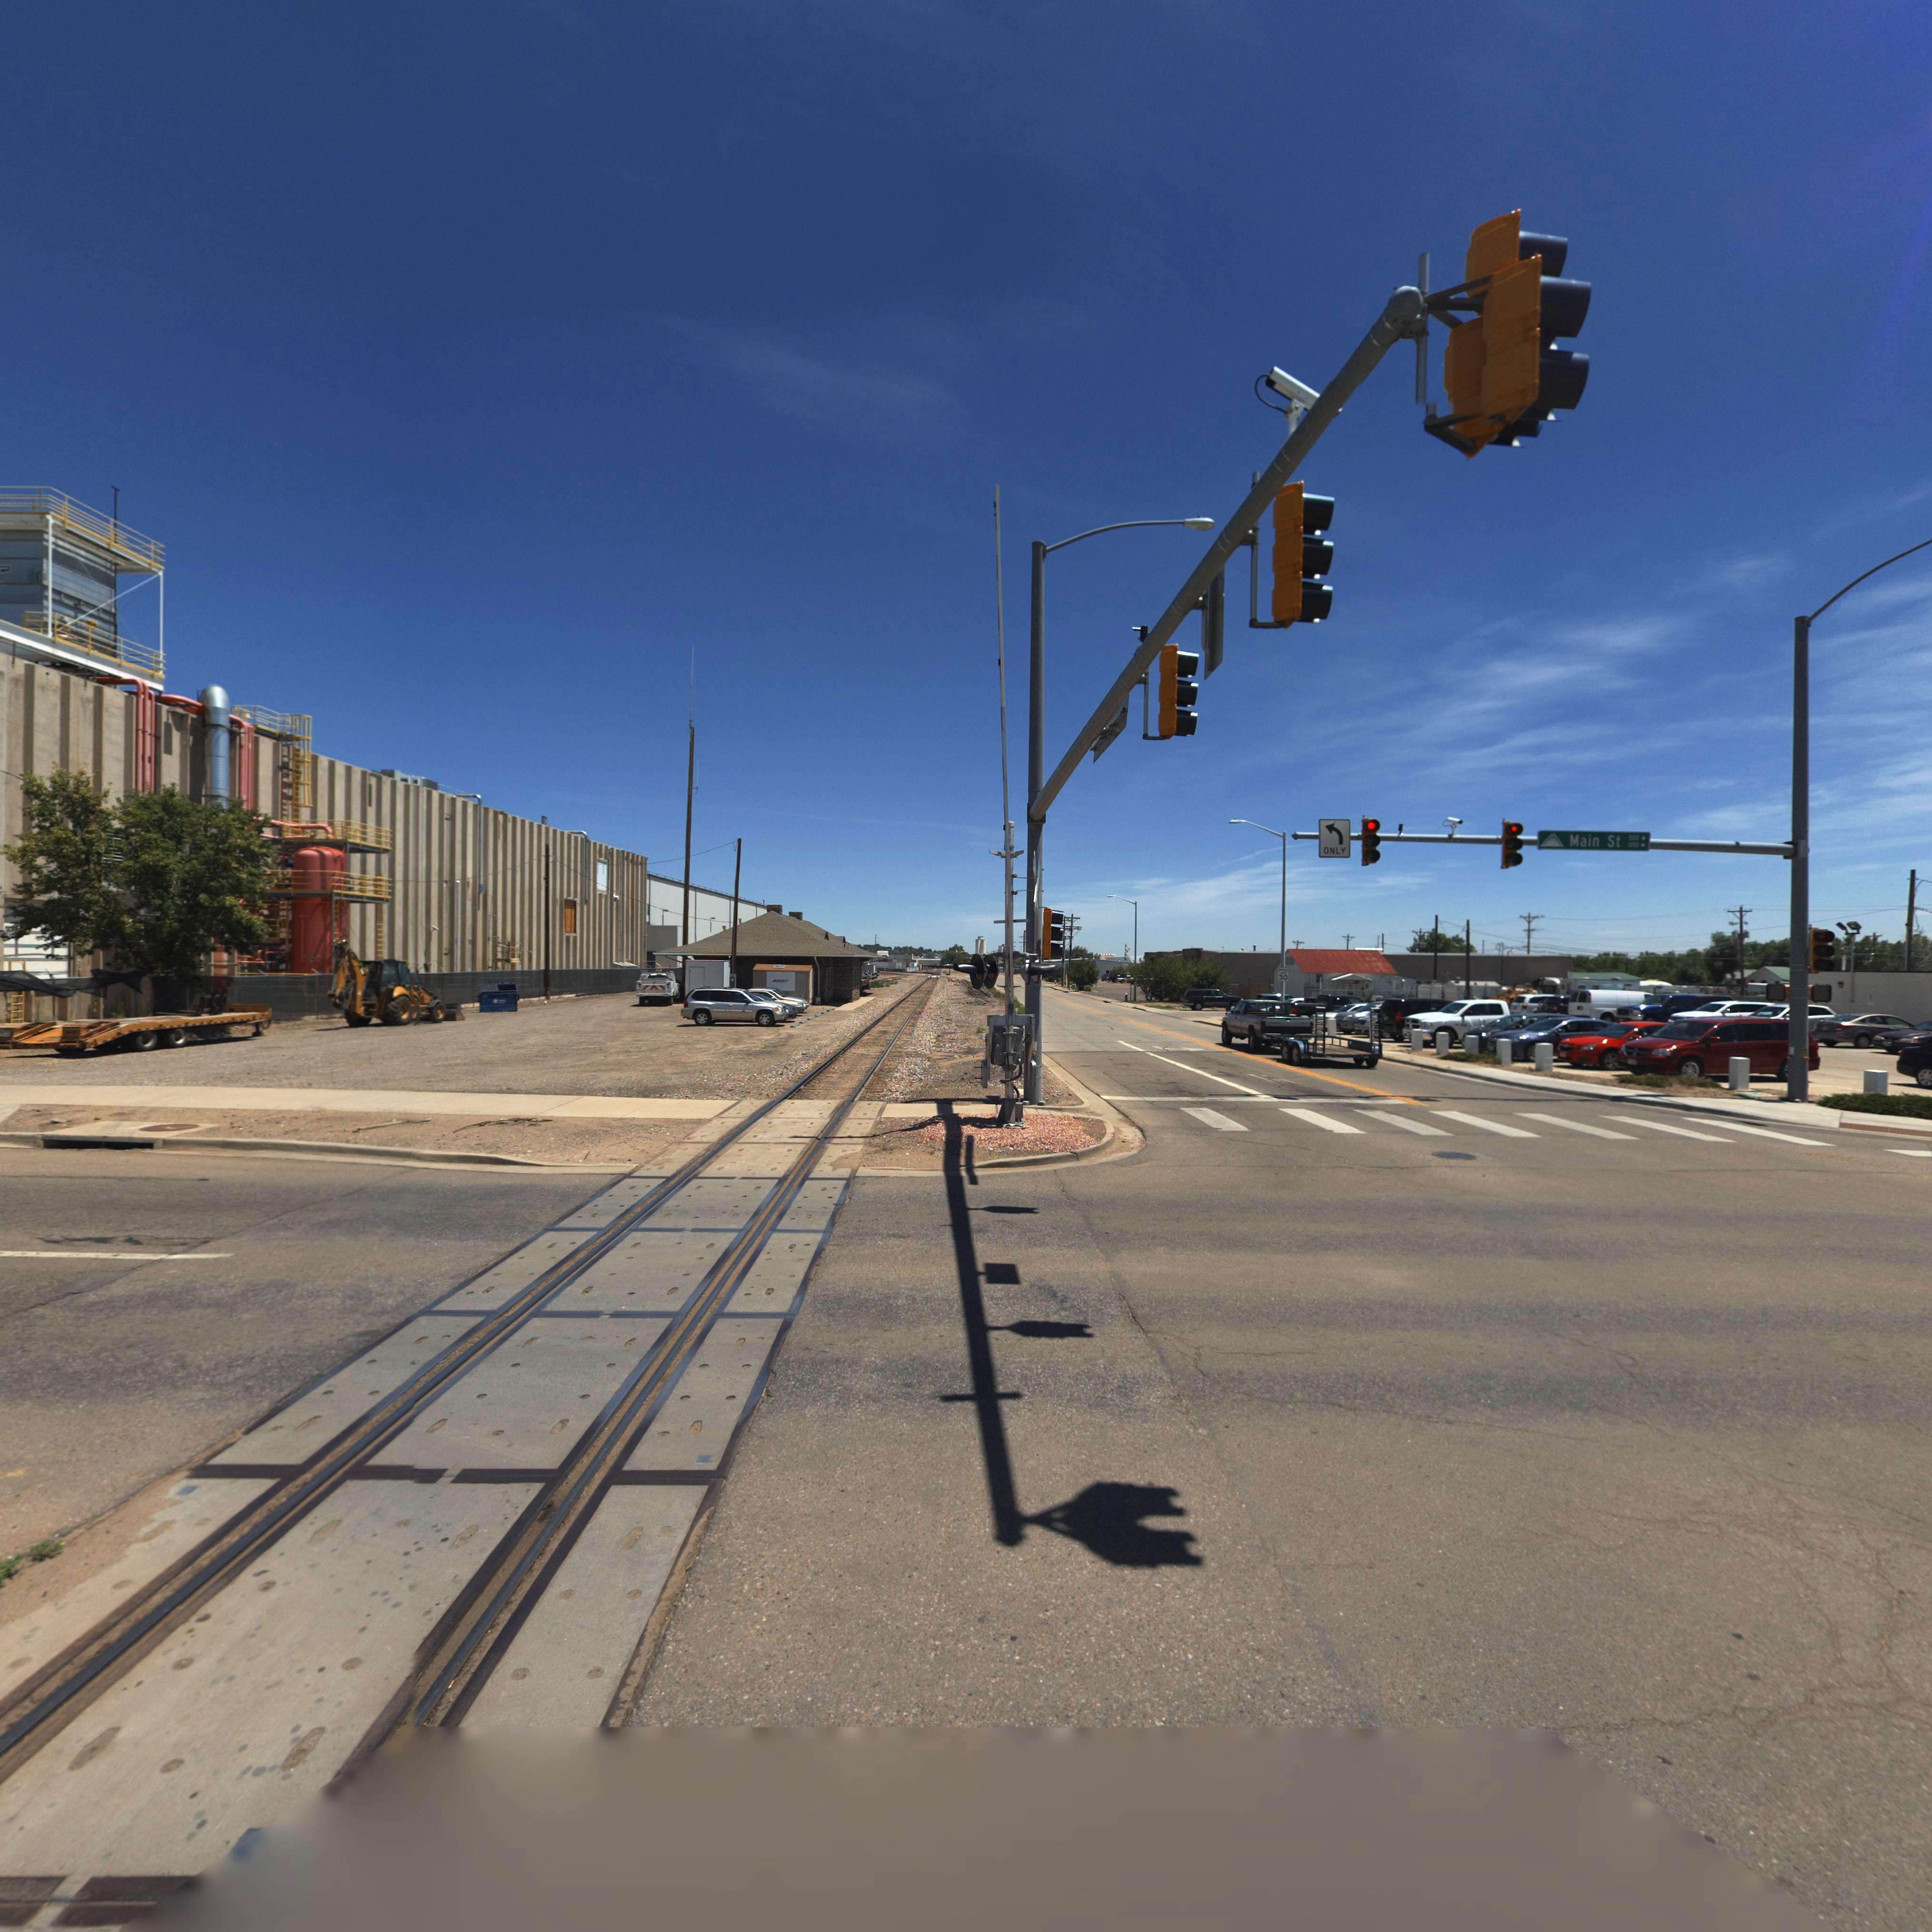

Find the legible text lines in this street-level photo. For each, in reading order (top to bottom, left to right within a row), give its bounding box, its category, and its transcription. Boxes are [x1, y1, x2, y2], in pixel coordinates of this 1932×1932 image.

[1569, 833, 1622, 848] StreetName: Main St
[1628, 834, 1640, 841] StreetNumberRange: *00
[1627, 841, 1646, 848] StreetNumberRange: *00->